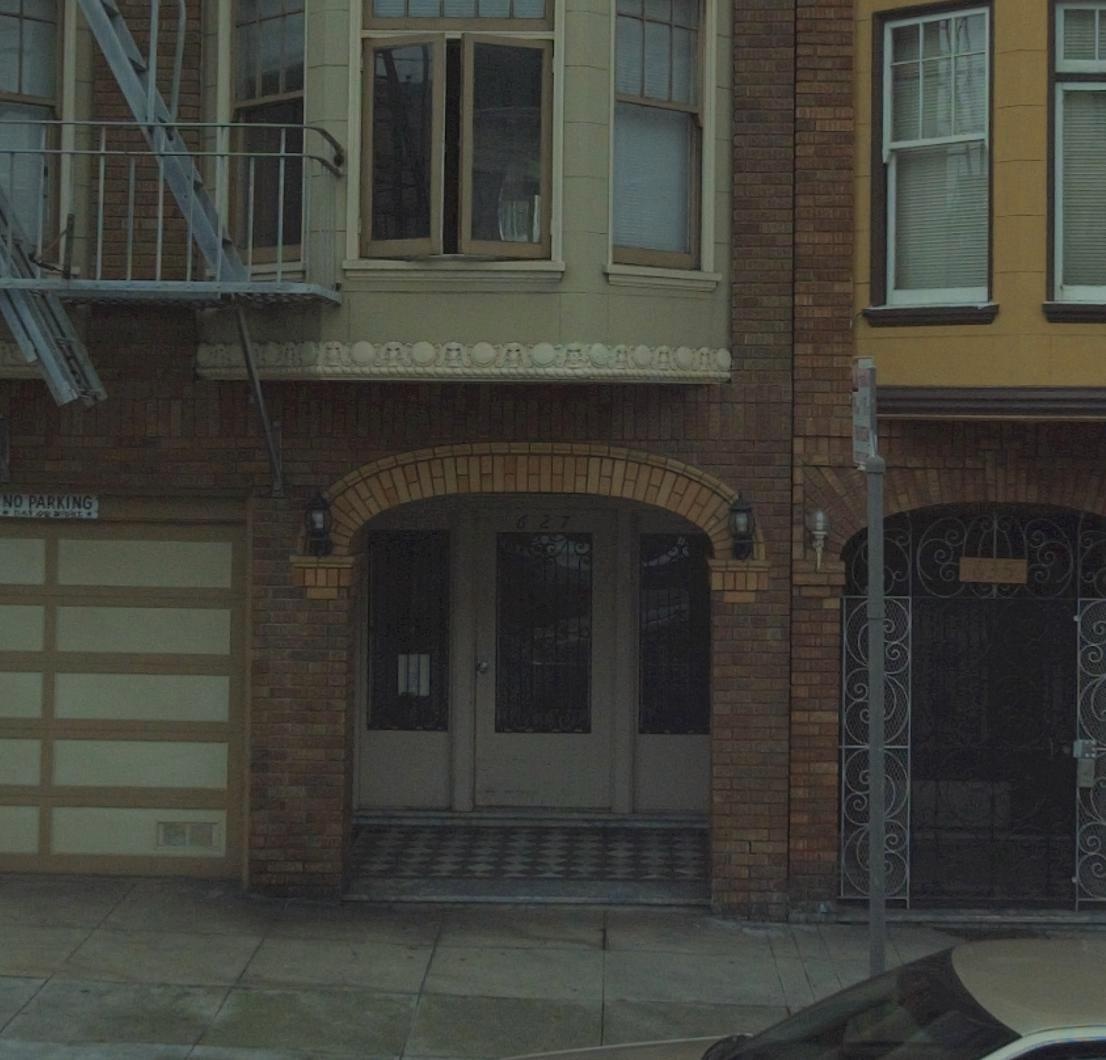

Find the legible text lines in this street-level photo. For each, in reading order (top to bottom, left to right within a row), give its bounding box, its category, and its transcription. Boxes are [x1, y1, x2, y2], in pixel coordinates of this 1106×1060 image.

[1, 491, 95, 512] None: NO PARKING
[515, 512, 572, 531] StreetNumber: 627
[972, 559, 1016, 582] StreetNumber: 635